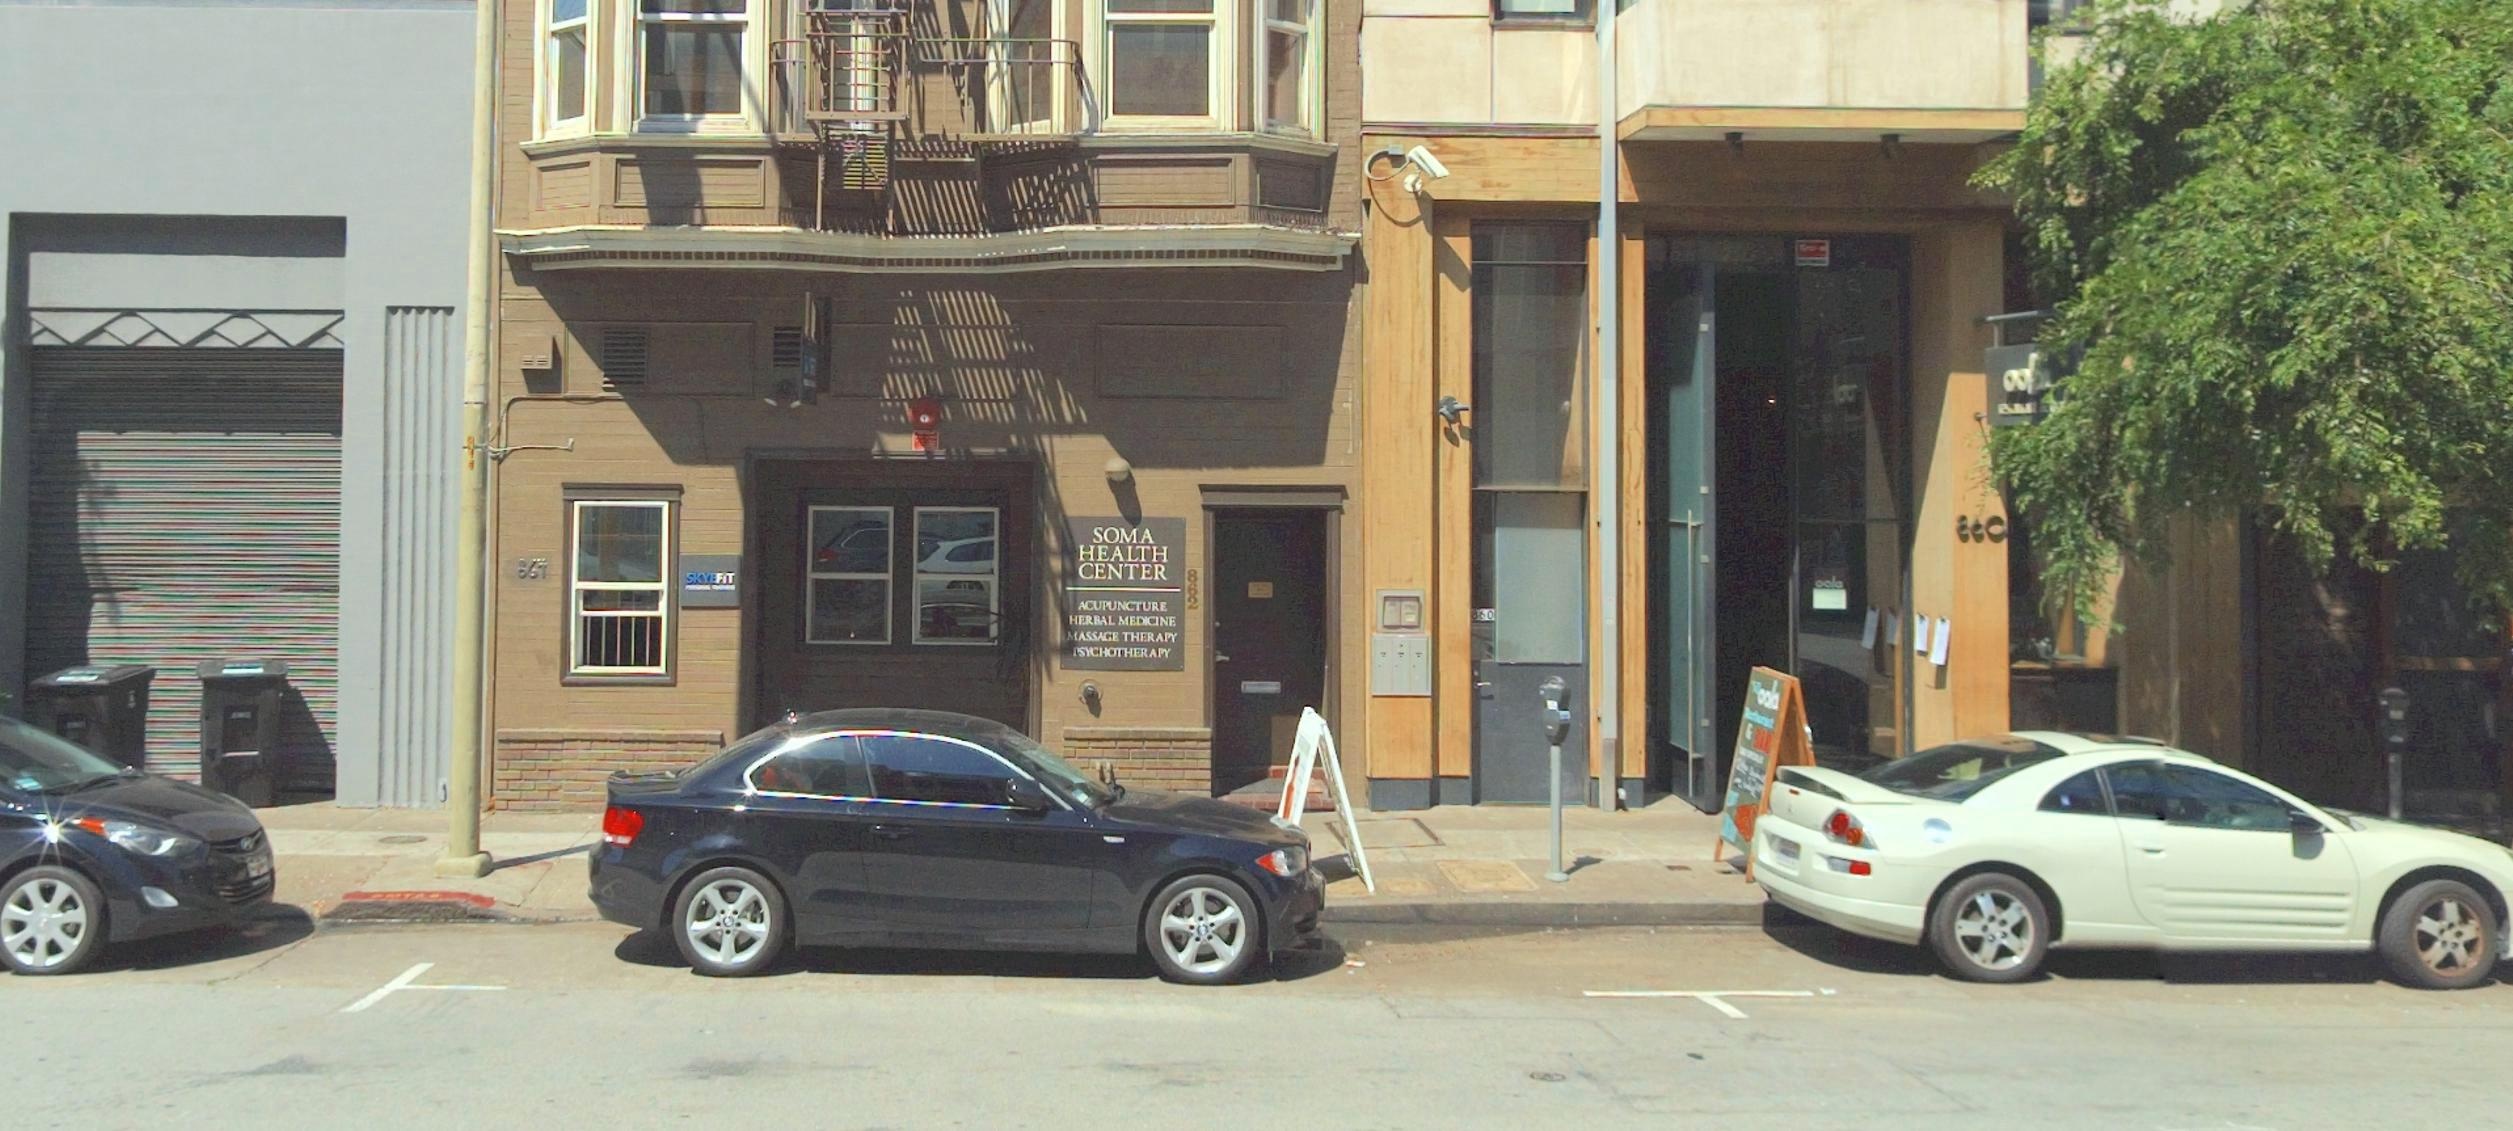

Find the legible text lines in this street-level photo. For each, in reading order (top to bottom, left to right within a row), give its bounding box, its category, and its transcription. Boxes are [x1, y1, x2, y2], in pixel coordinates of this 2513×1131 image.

[1092, 526, 1156, 544] BusinessName: SOMA
[1956, 514, 2006, 538] StreetNumber: 860
[1076, 544, 1171, 563] BusinessName: HEALTH
[516, 557, 549, 580] StreetNumber: 867
[685, 572, 735, 584] BusinessName: SKYEFiT
[1075, 562, 1169, 581] BusinessName: CENTER
[1185, 569, 1200, 610] StreetNumber: 862
[1074, 599, 1169, 611] None: ACUPUNCTURE
[1068, 614, 1177, 627] None: HERBAL MEDICINE
[1470, 609, 1494, 620] StreetNumber: 860
[1064, 630, 1178, 643] None: MASSAGE THERAPY
[1071, 645, 1173, 659] None: PSYCHOTHERAPY